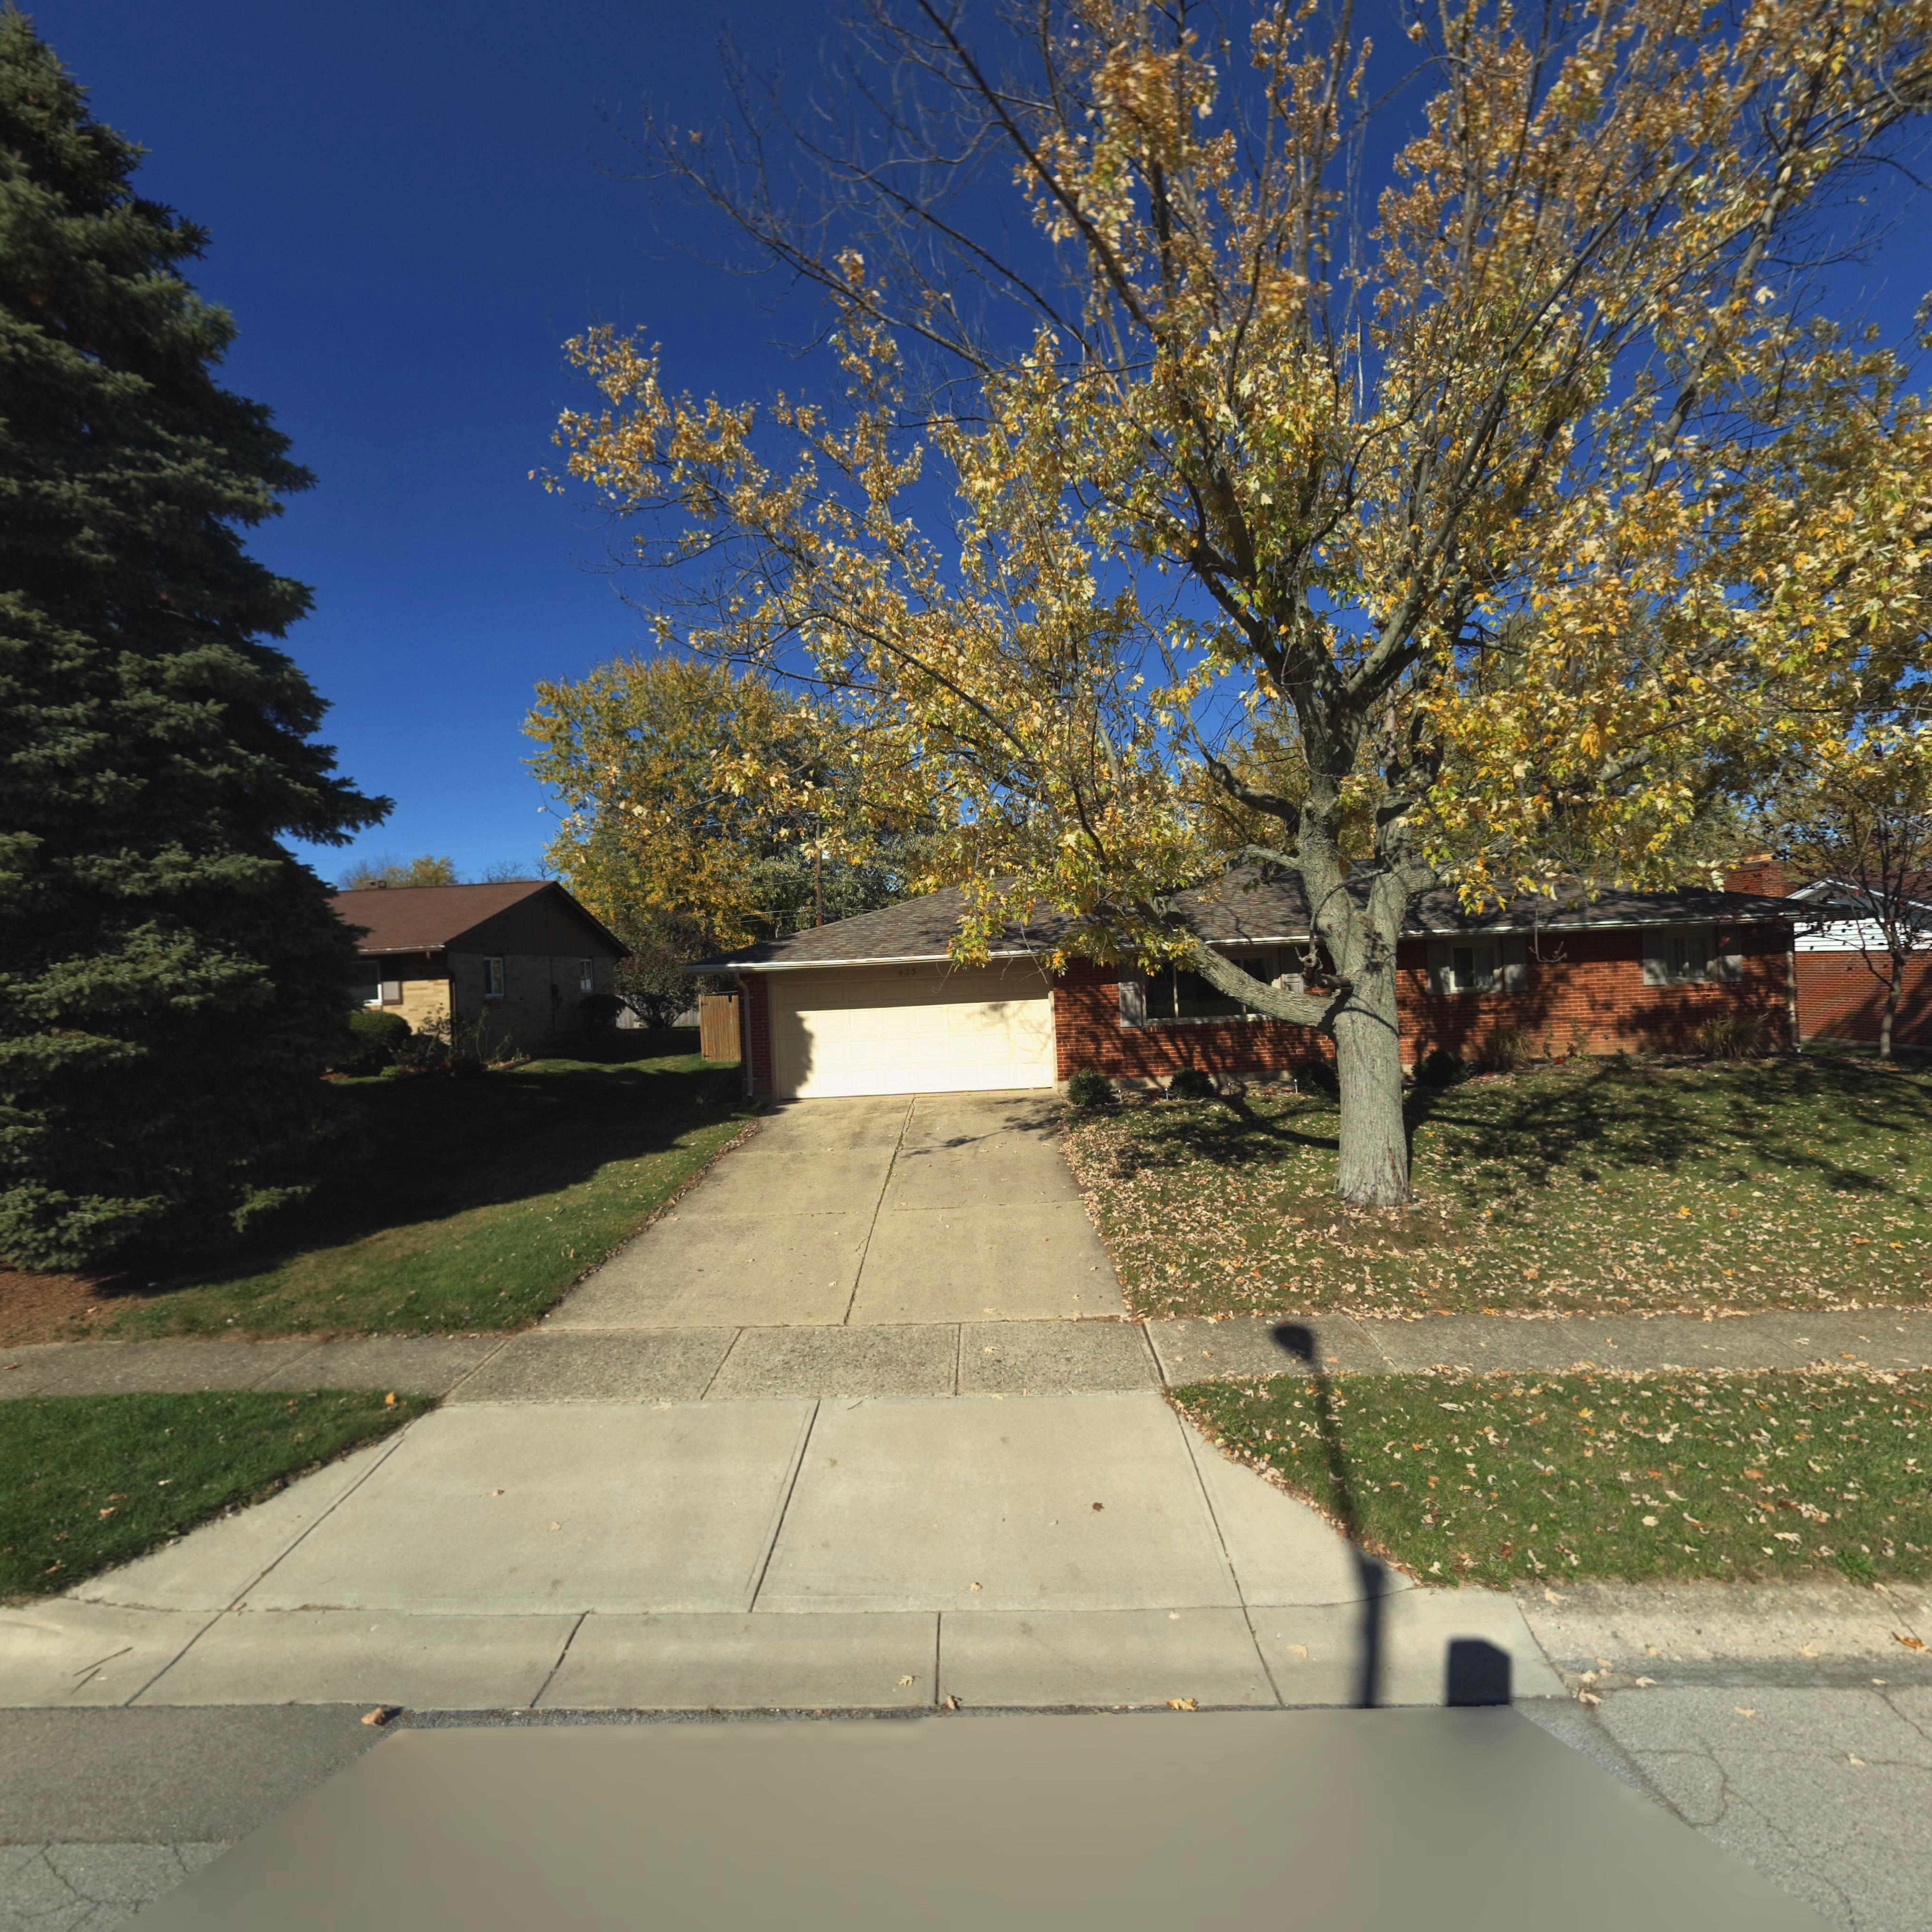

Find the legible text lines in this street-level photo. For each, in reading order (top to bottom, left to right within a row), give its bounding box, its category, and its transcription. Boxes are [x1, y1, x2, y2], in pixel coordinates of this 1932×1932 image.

[897, 967, 918, 977] StreetNumber: 423